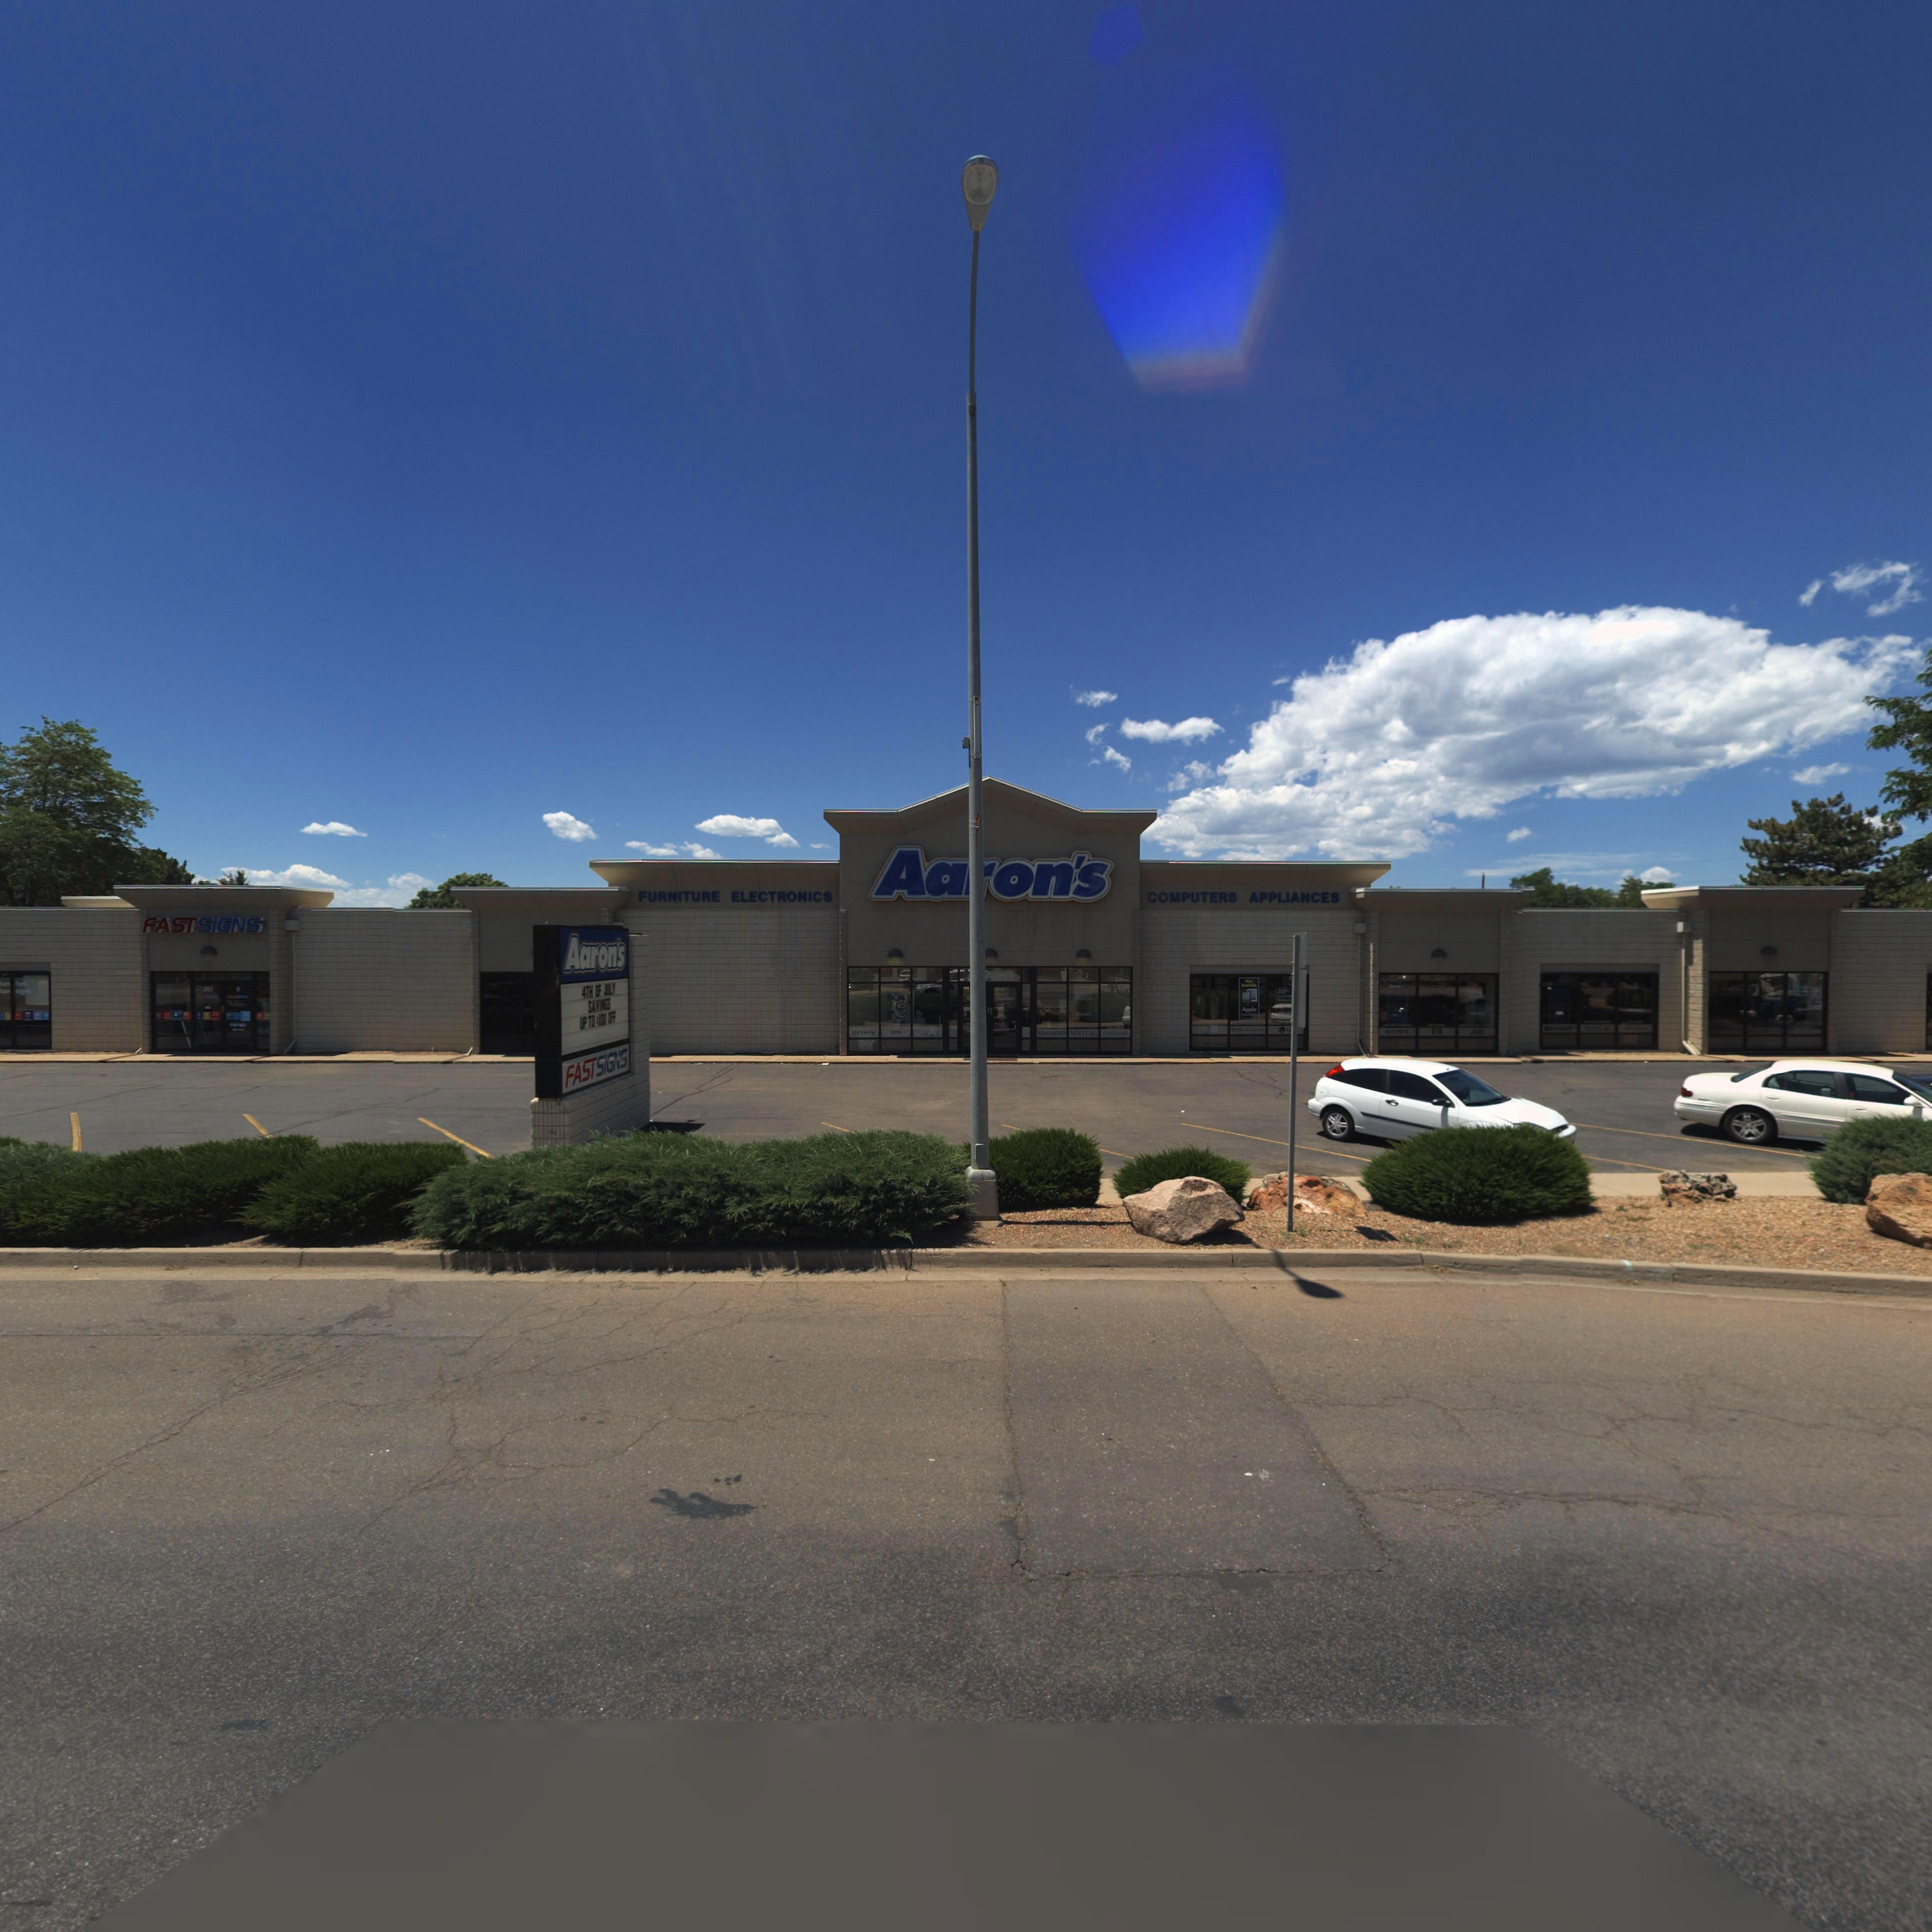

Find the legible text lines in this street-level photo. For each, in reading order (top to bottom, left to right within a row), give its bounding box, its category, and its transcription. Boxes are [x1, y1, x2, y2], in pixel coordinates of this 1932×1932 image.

[870, 845, 1112, 900] BusinessName: Aa*on's
[141, 916, 264, 934] BusinessName: FAST SIGNS
[562, 933, 627, 973] BusinessName: Aaron's
[985, 969, 1015, 981] BusinessName: ron's
[202, 986, 213, 992] StreetNumber: 203
[235, 986, 240, 992] StreetNumber: B
[564, 1047, 628, 1089] BusinessName: FAST SIGNS